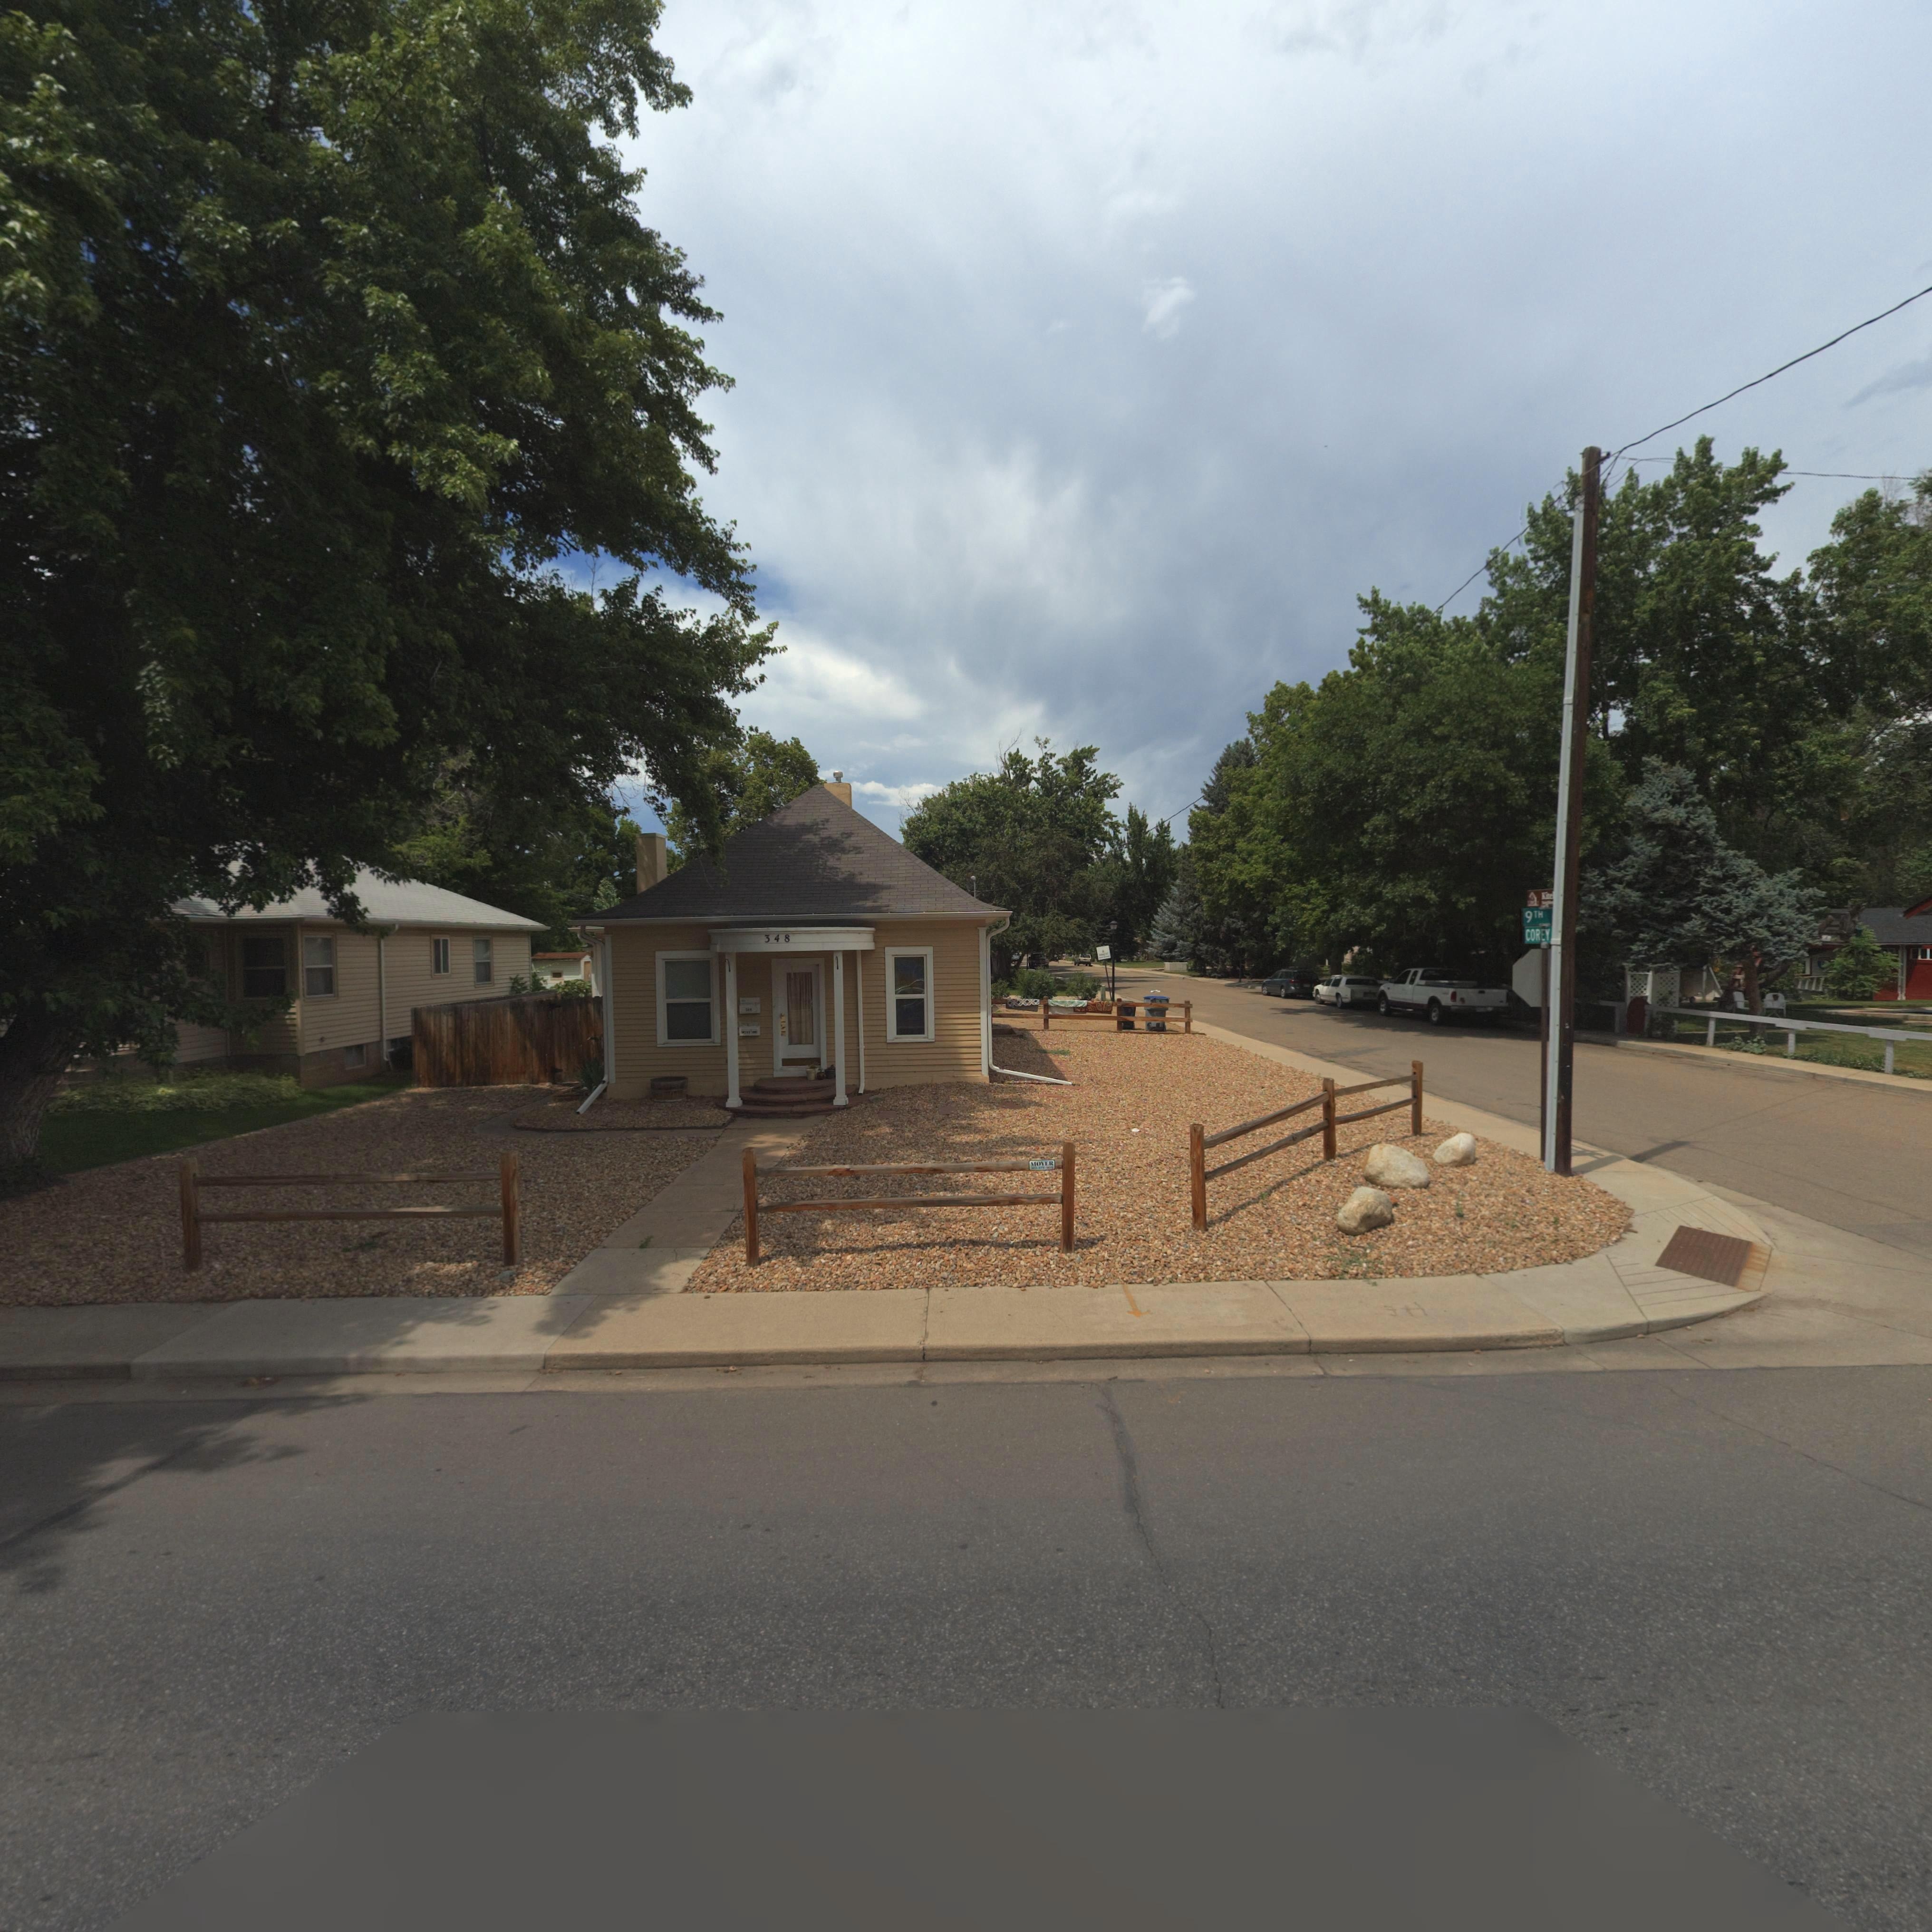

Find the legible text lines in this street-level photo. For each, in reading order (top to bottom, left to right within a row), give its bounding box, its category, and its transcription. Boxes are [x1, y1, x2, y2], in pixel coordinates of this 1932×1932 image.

[1524, 910, 1543, 924] StreetName: 9TH
[765, 934, 790, 943] StreetNumber: 348
[1525, 928, 1550, 941] StreetName: COREY